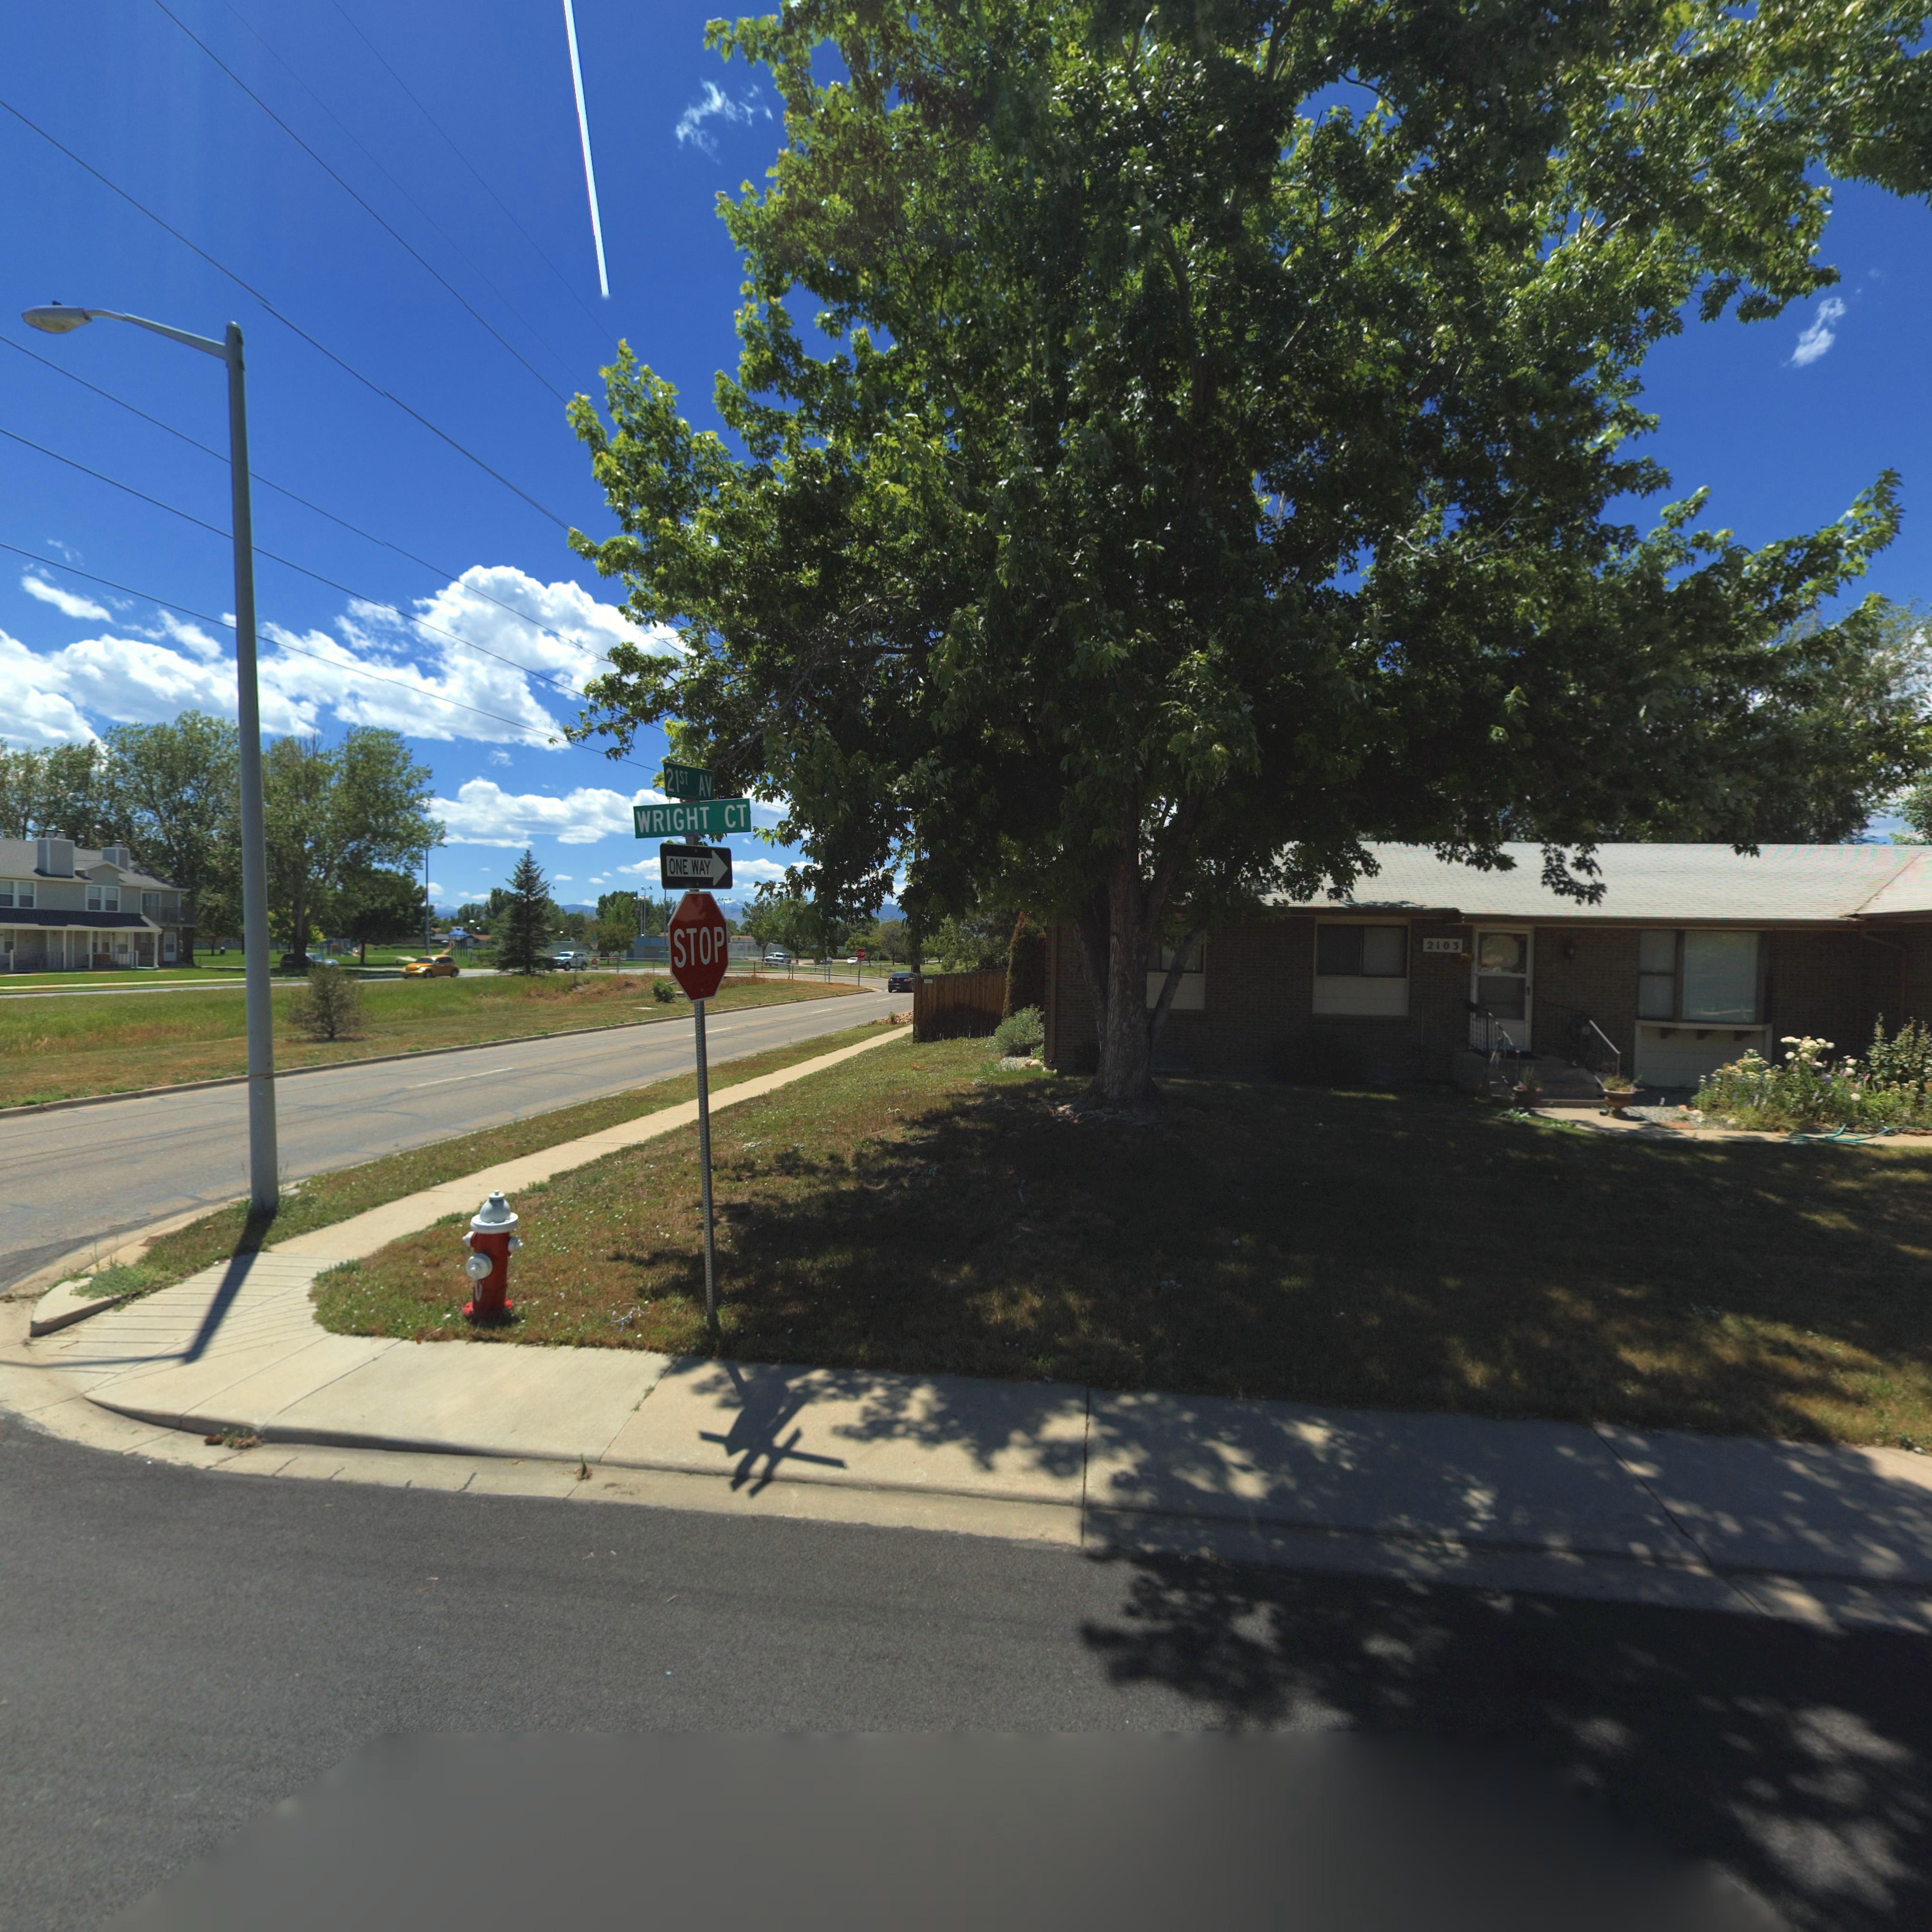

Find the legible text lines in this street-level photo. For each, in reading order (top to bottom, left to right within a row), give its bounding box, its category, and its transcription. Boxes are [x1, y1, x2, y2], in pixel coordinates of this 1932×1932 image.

[665, 767, 712, 798] StreetName: 21ST AV
[635, 803, 747, 834] StreetName: WRIGHT CT
[1426, 940, 1459, 950] StreetNumber: 2103